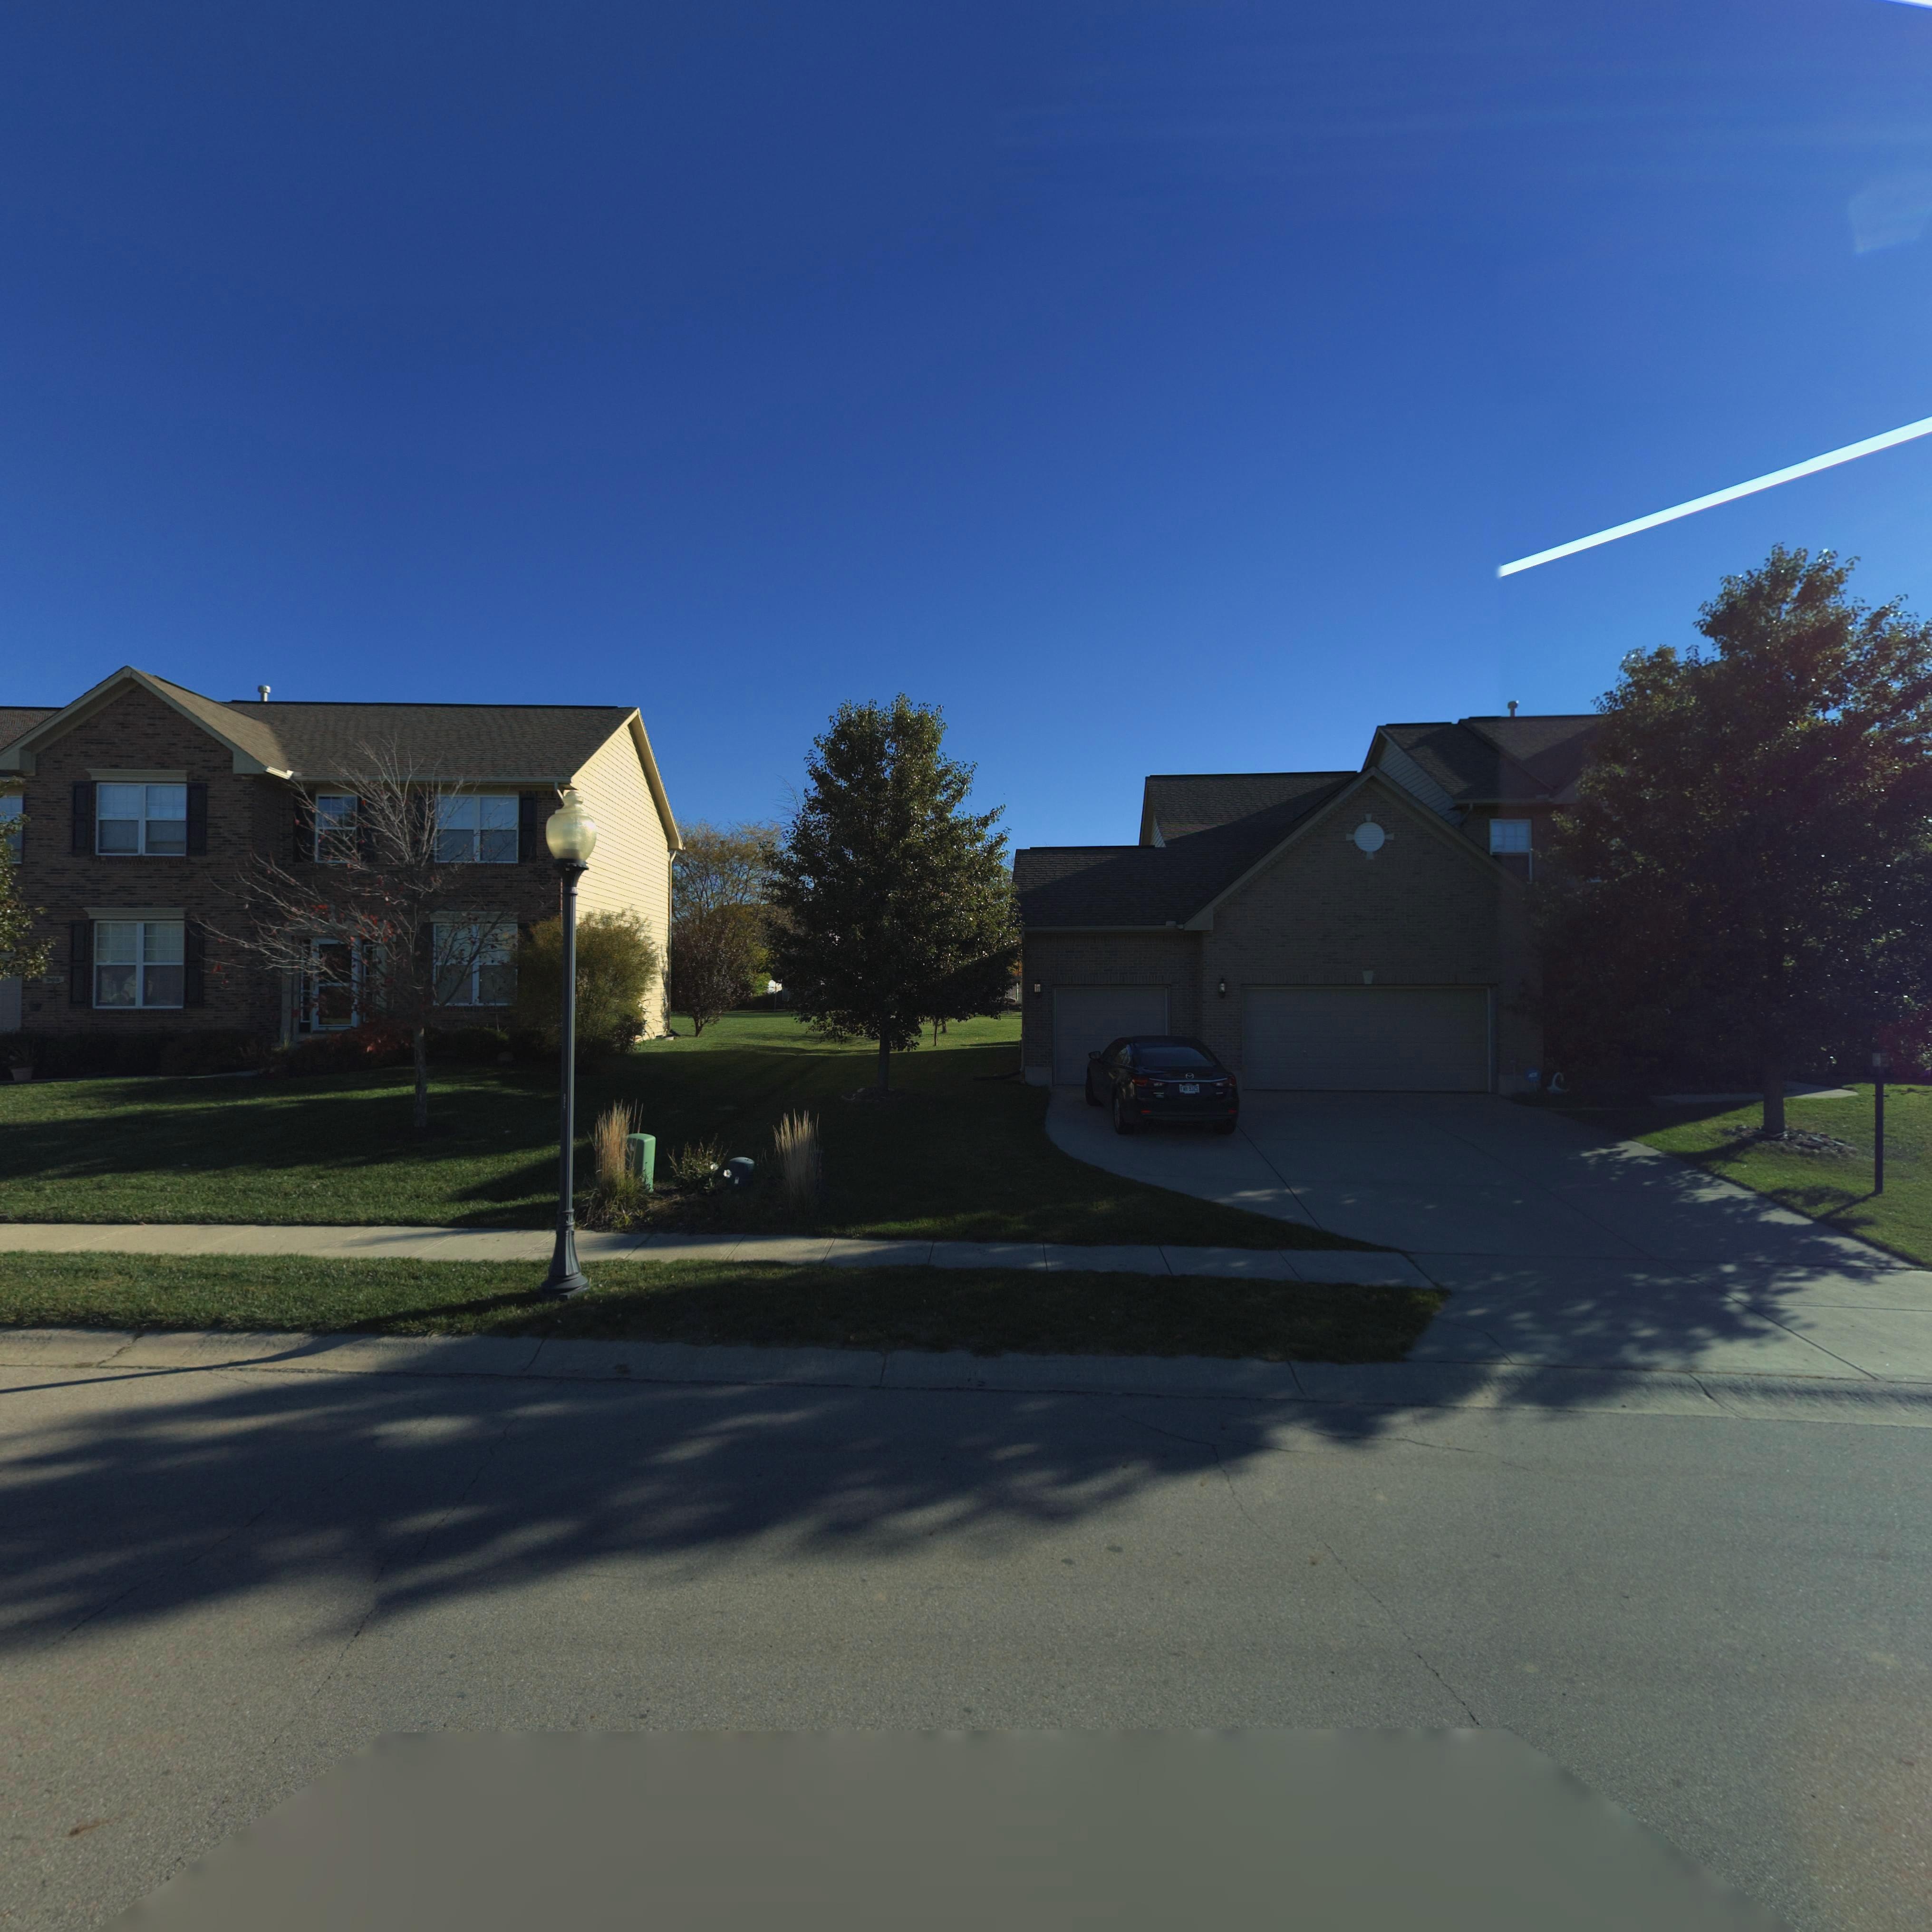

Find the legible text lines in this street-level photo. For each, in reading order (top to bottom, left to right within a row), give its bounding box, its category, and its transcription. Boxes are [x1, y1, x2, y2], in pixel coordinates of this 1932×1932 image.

[45, 976, 60, 983] StreetNumber: 205
[1179, 1084, 1198, 1092] None: *** 9325